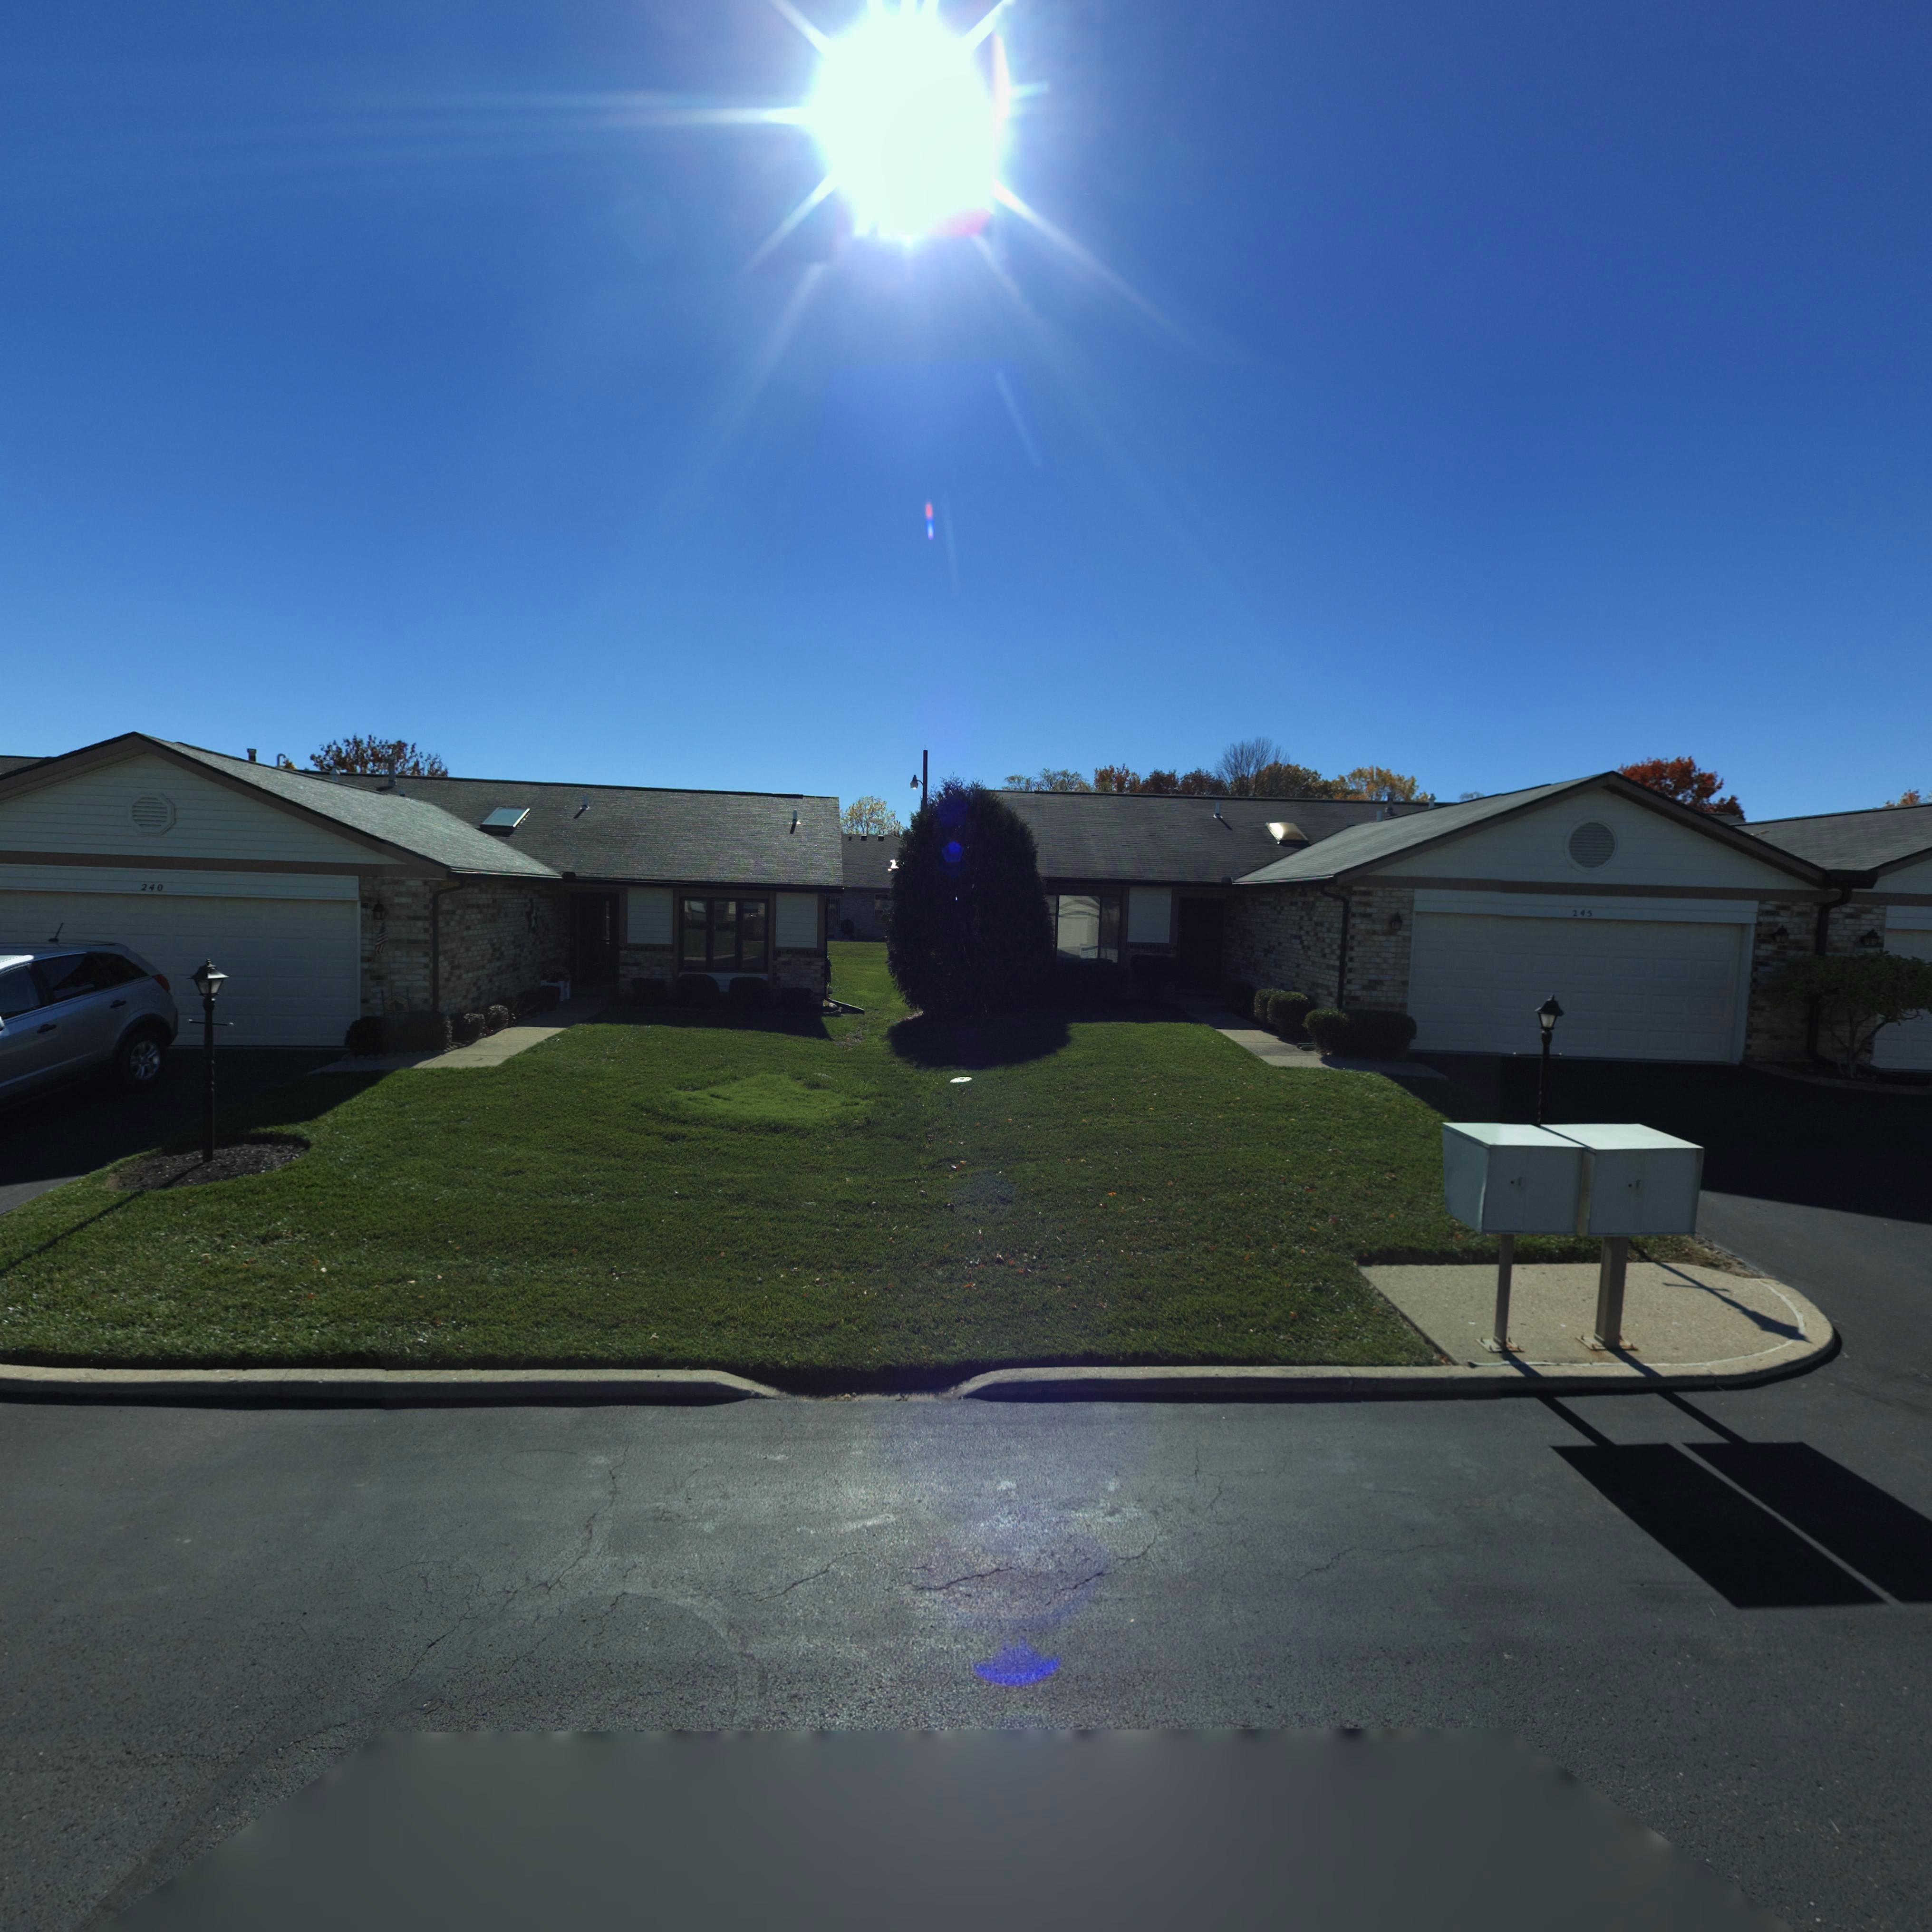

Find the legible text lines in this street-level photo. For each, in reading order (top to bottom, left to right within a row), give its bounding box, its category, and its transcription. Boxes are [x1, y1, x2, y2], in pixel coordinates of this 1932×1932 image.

[139, 882, 164, 892] StreetNumber: 240
[1571, 908, 1594, 918] StreetNumber: 245